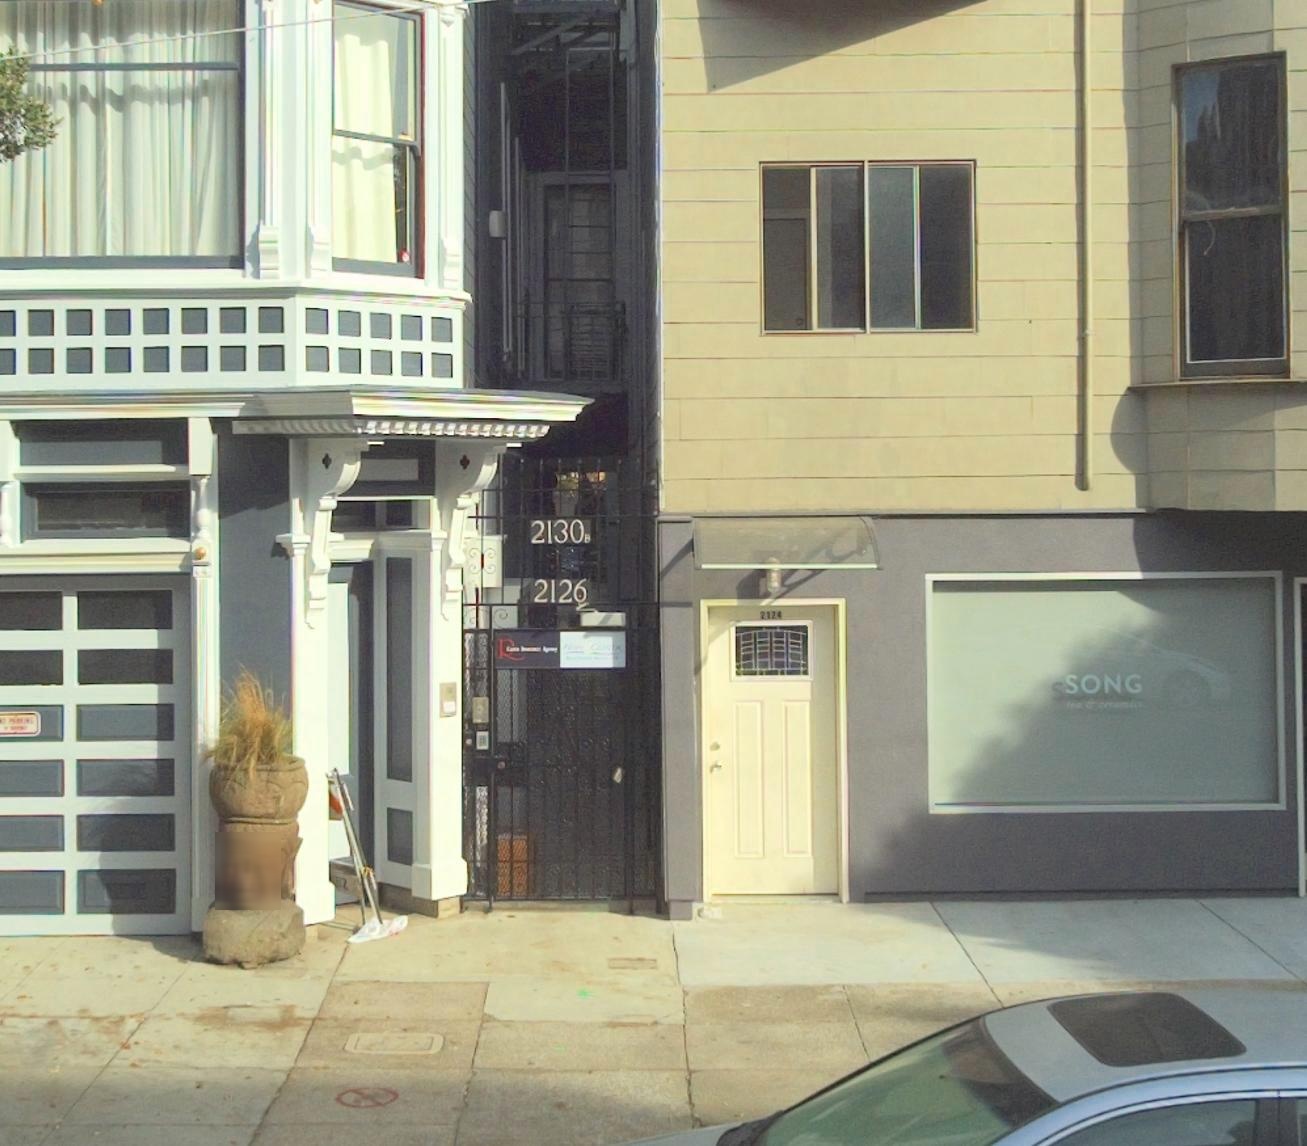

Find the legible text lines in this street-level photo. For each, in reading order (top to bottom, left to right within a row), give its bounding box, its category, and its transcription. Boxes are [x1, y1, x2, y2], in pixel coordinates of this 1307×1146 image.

[529, 517, 586, 546] StreetNumber: 2130
[583, 532, 593, 545] StreetNumber: B
[532, 576, 590, 605] StreetNumber: 2126
[758, 609, 784, 621] StreetNumber: 2124
[1063, 671, 1145, 697] BusinessName: SONG